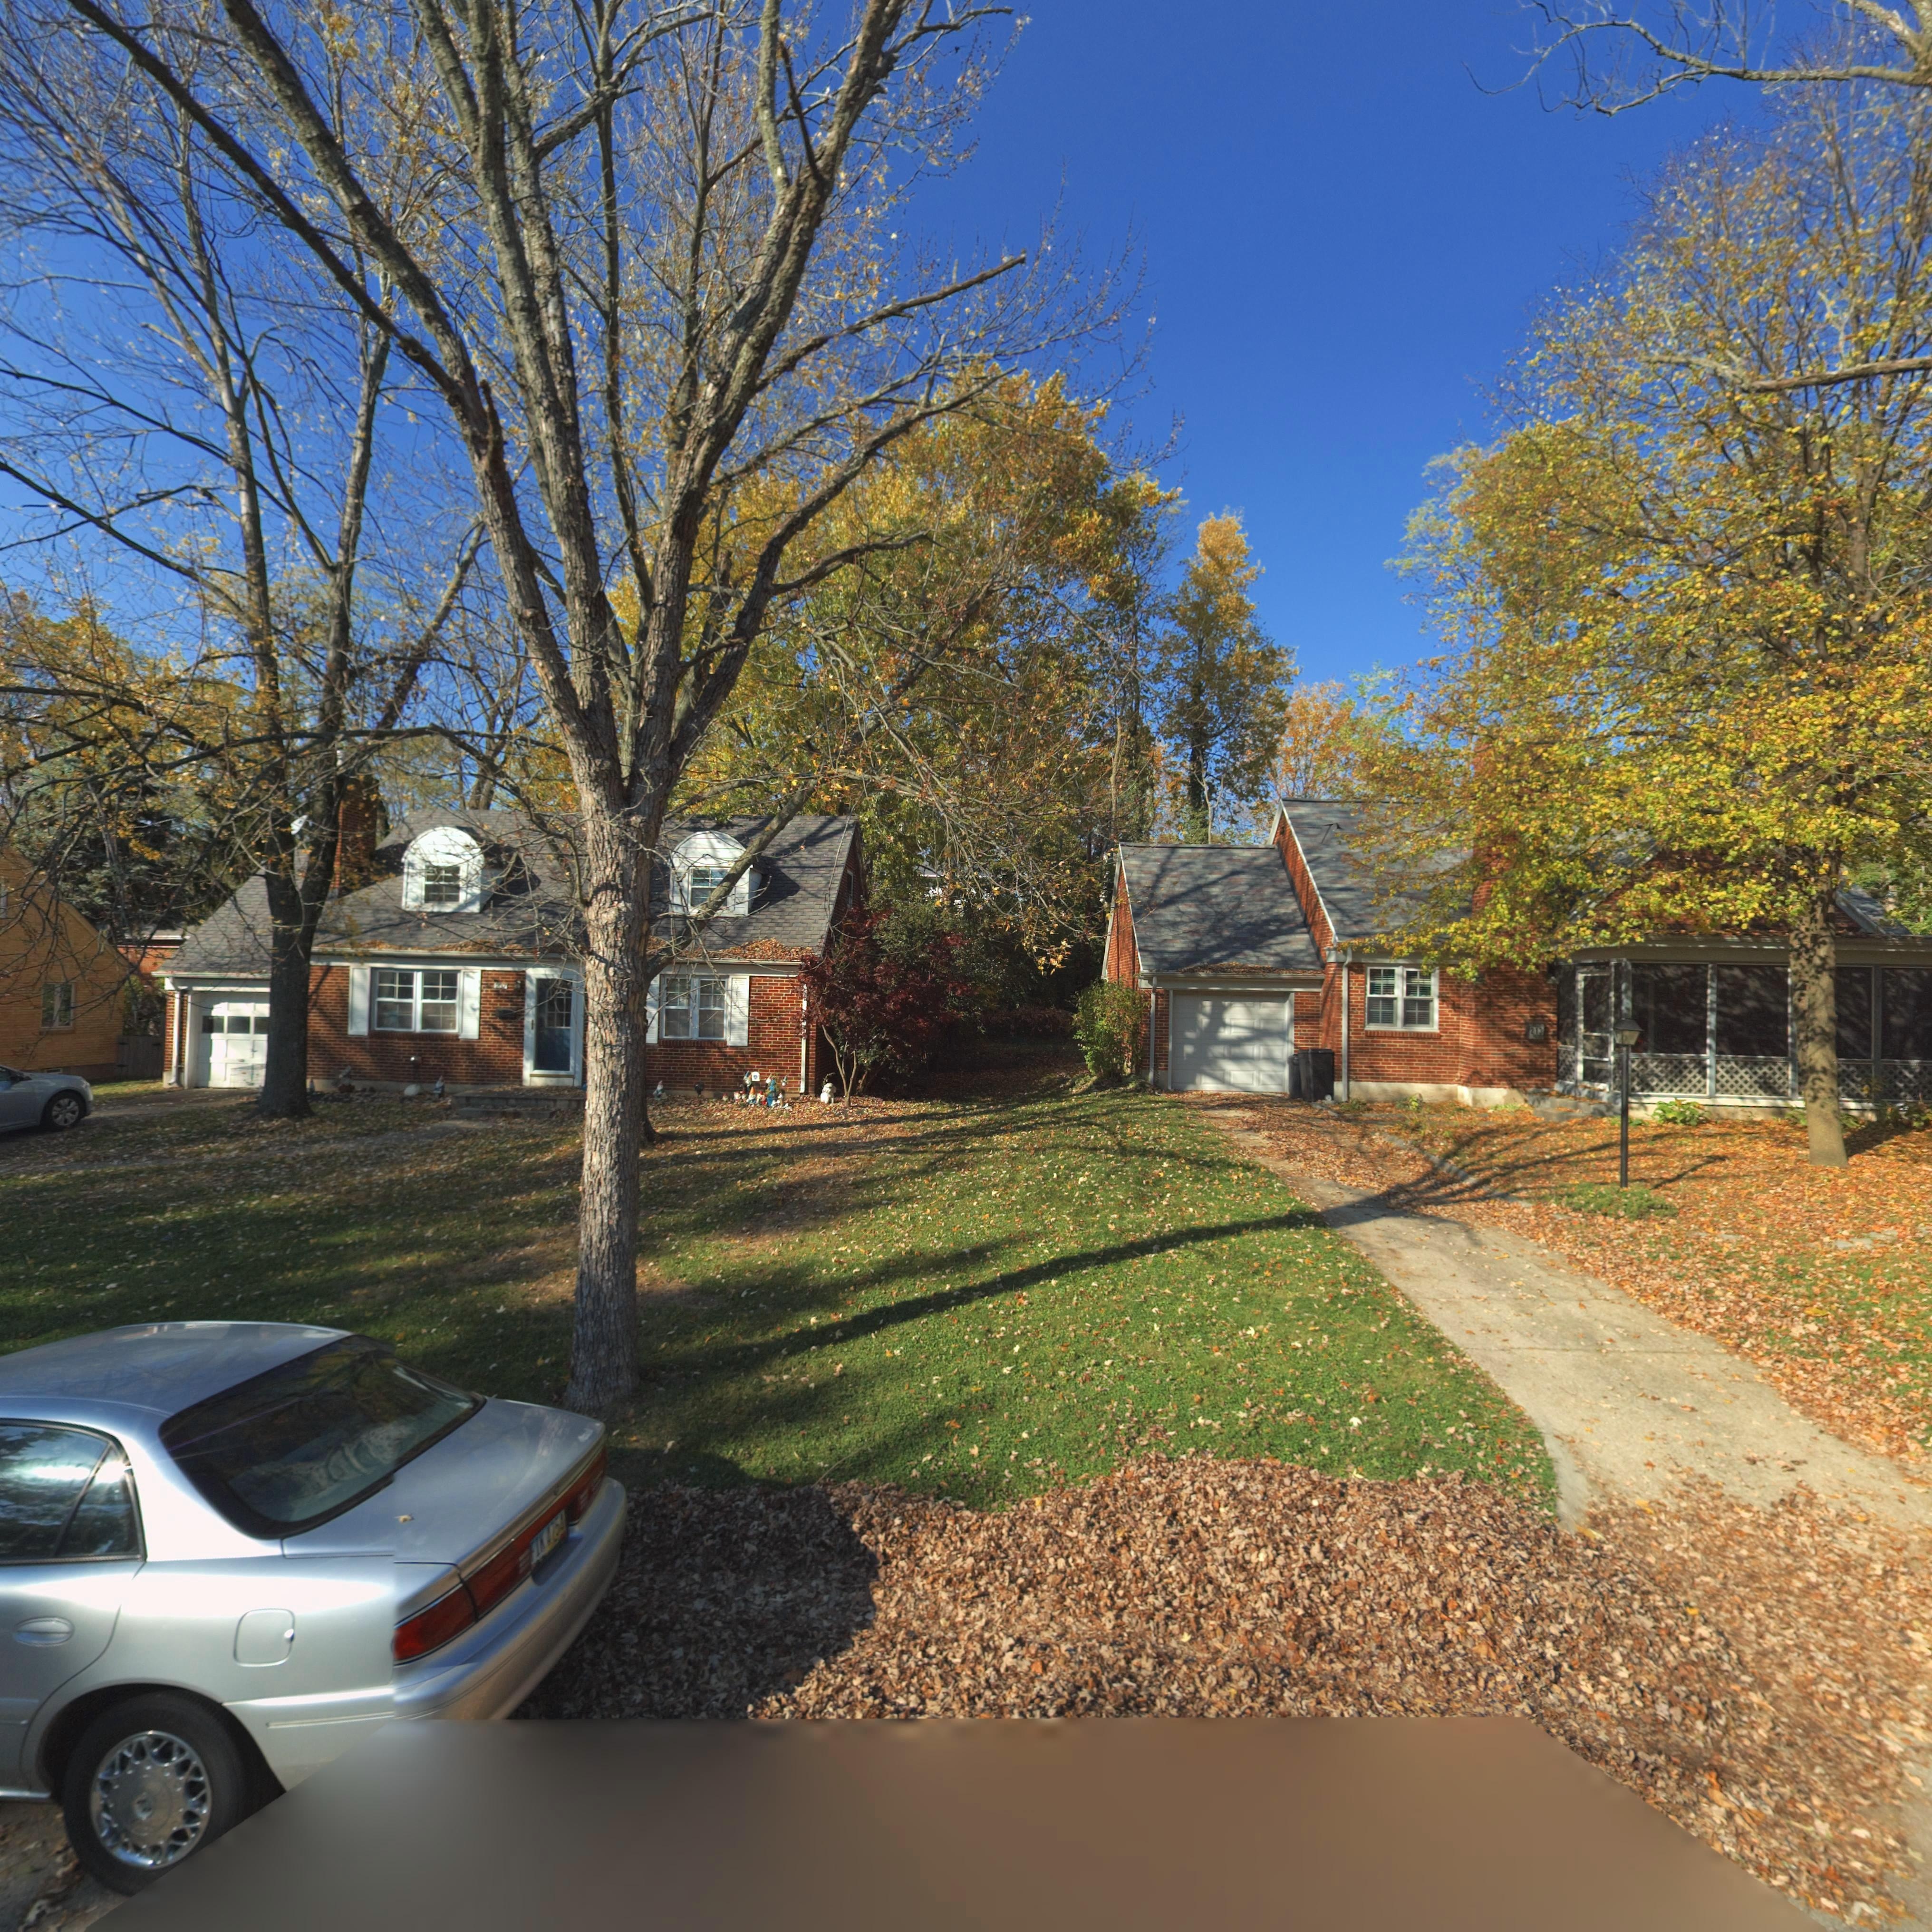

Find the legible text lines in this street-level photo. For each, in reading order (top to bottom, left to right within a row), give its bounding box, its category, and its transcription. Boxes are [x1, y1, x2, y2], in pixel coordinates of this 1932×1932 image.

[1530, 1026, 1543, 1035] StreetNumber: 213